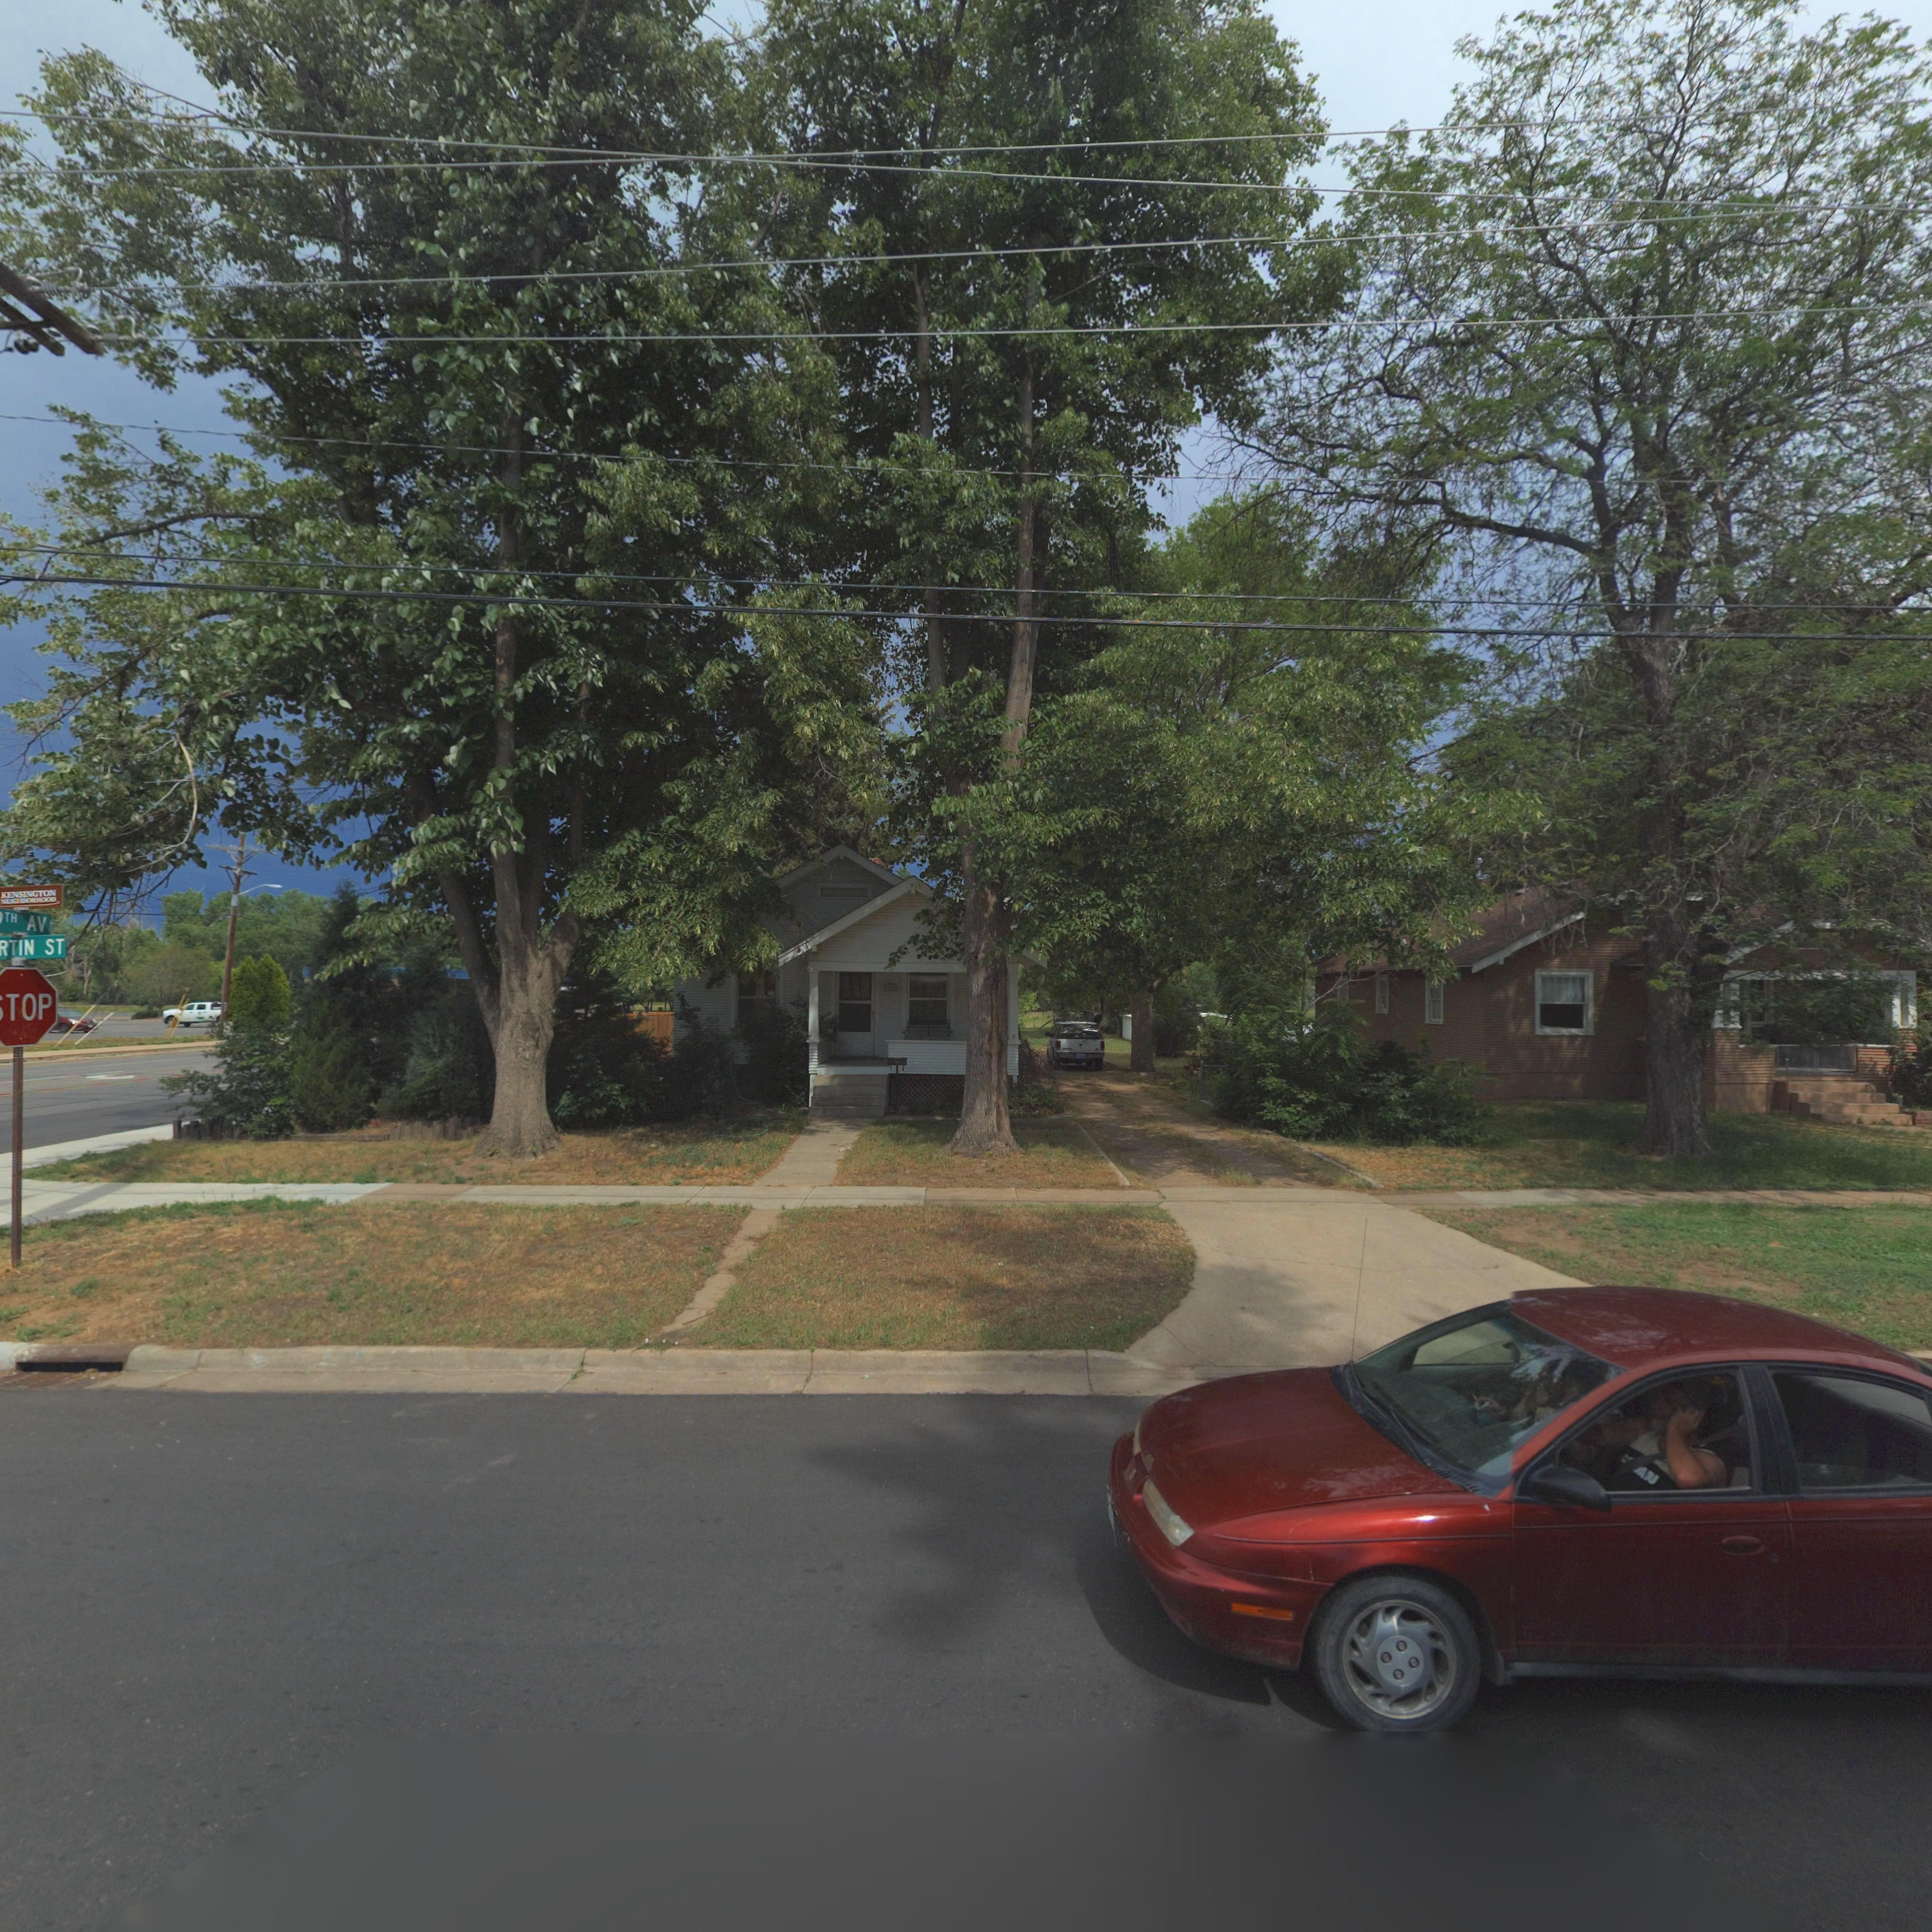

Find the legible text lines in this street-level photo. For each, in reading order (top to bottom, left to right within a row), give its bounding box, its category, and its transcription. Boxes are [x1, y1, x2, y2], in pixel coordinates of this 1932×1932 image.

[4, 911, 48, 933] StreetName: TH AV
[8, 937, 66, 956] StreetName: TIN ST